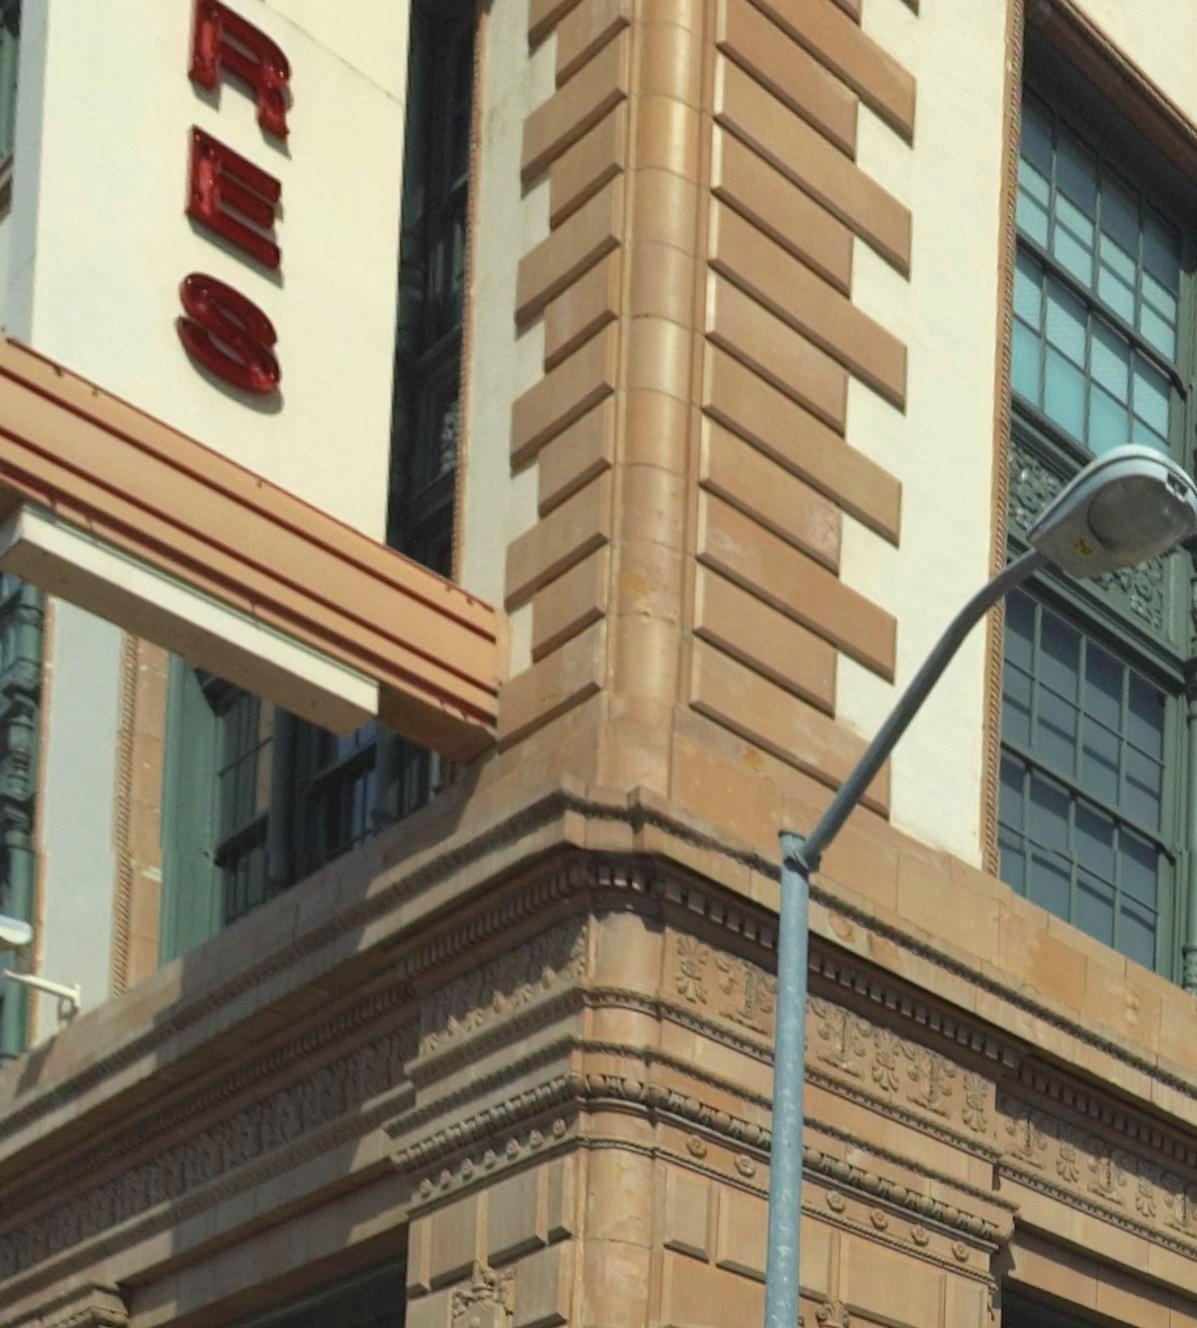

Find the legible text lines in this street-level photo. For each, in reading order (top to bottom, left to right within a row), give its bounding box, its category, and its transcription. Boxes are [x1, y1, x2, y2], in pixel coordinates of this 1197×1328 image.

[170, 0, 294, 411] BusinessName: RES